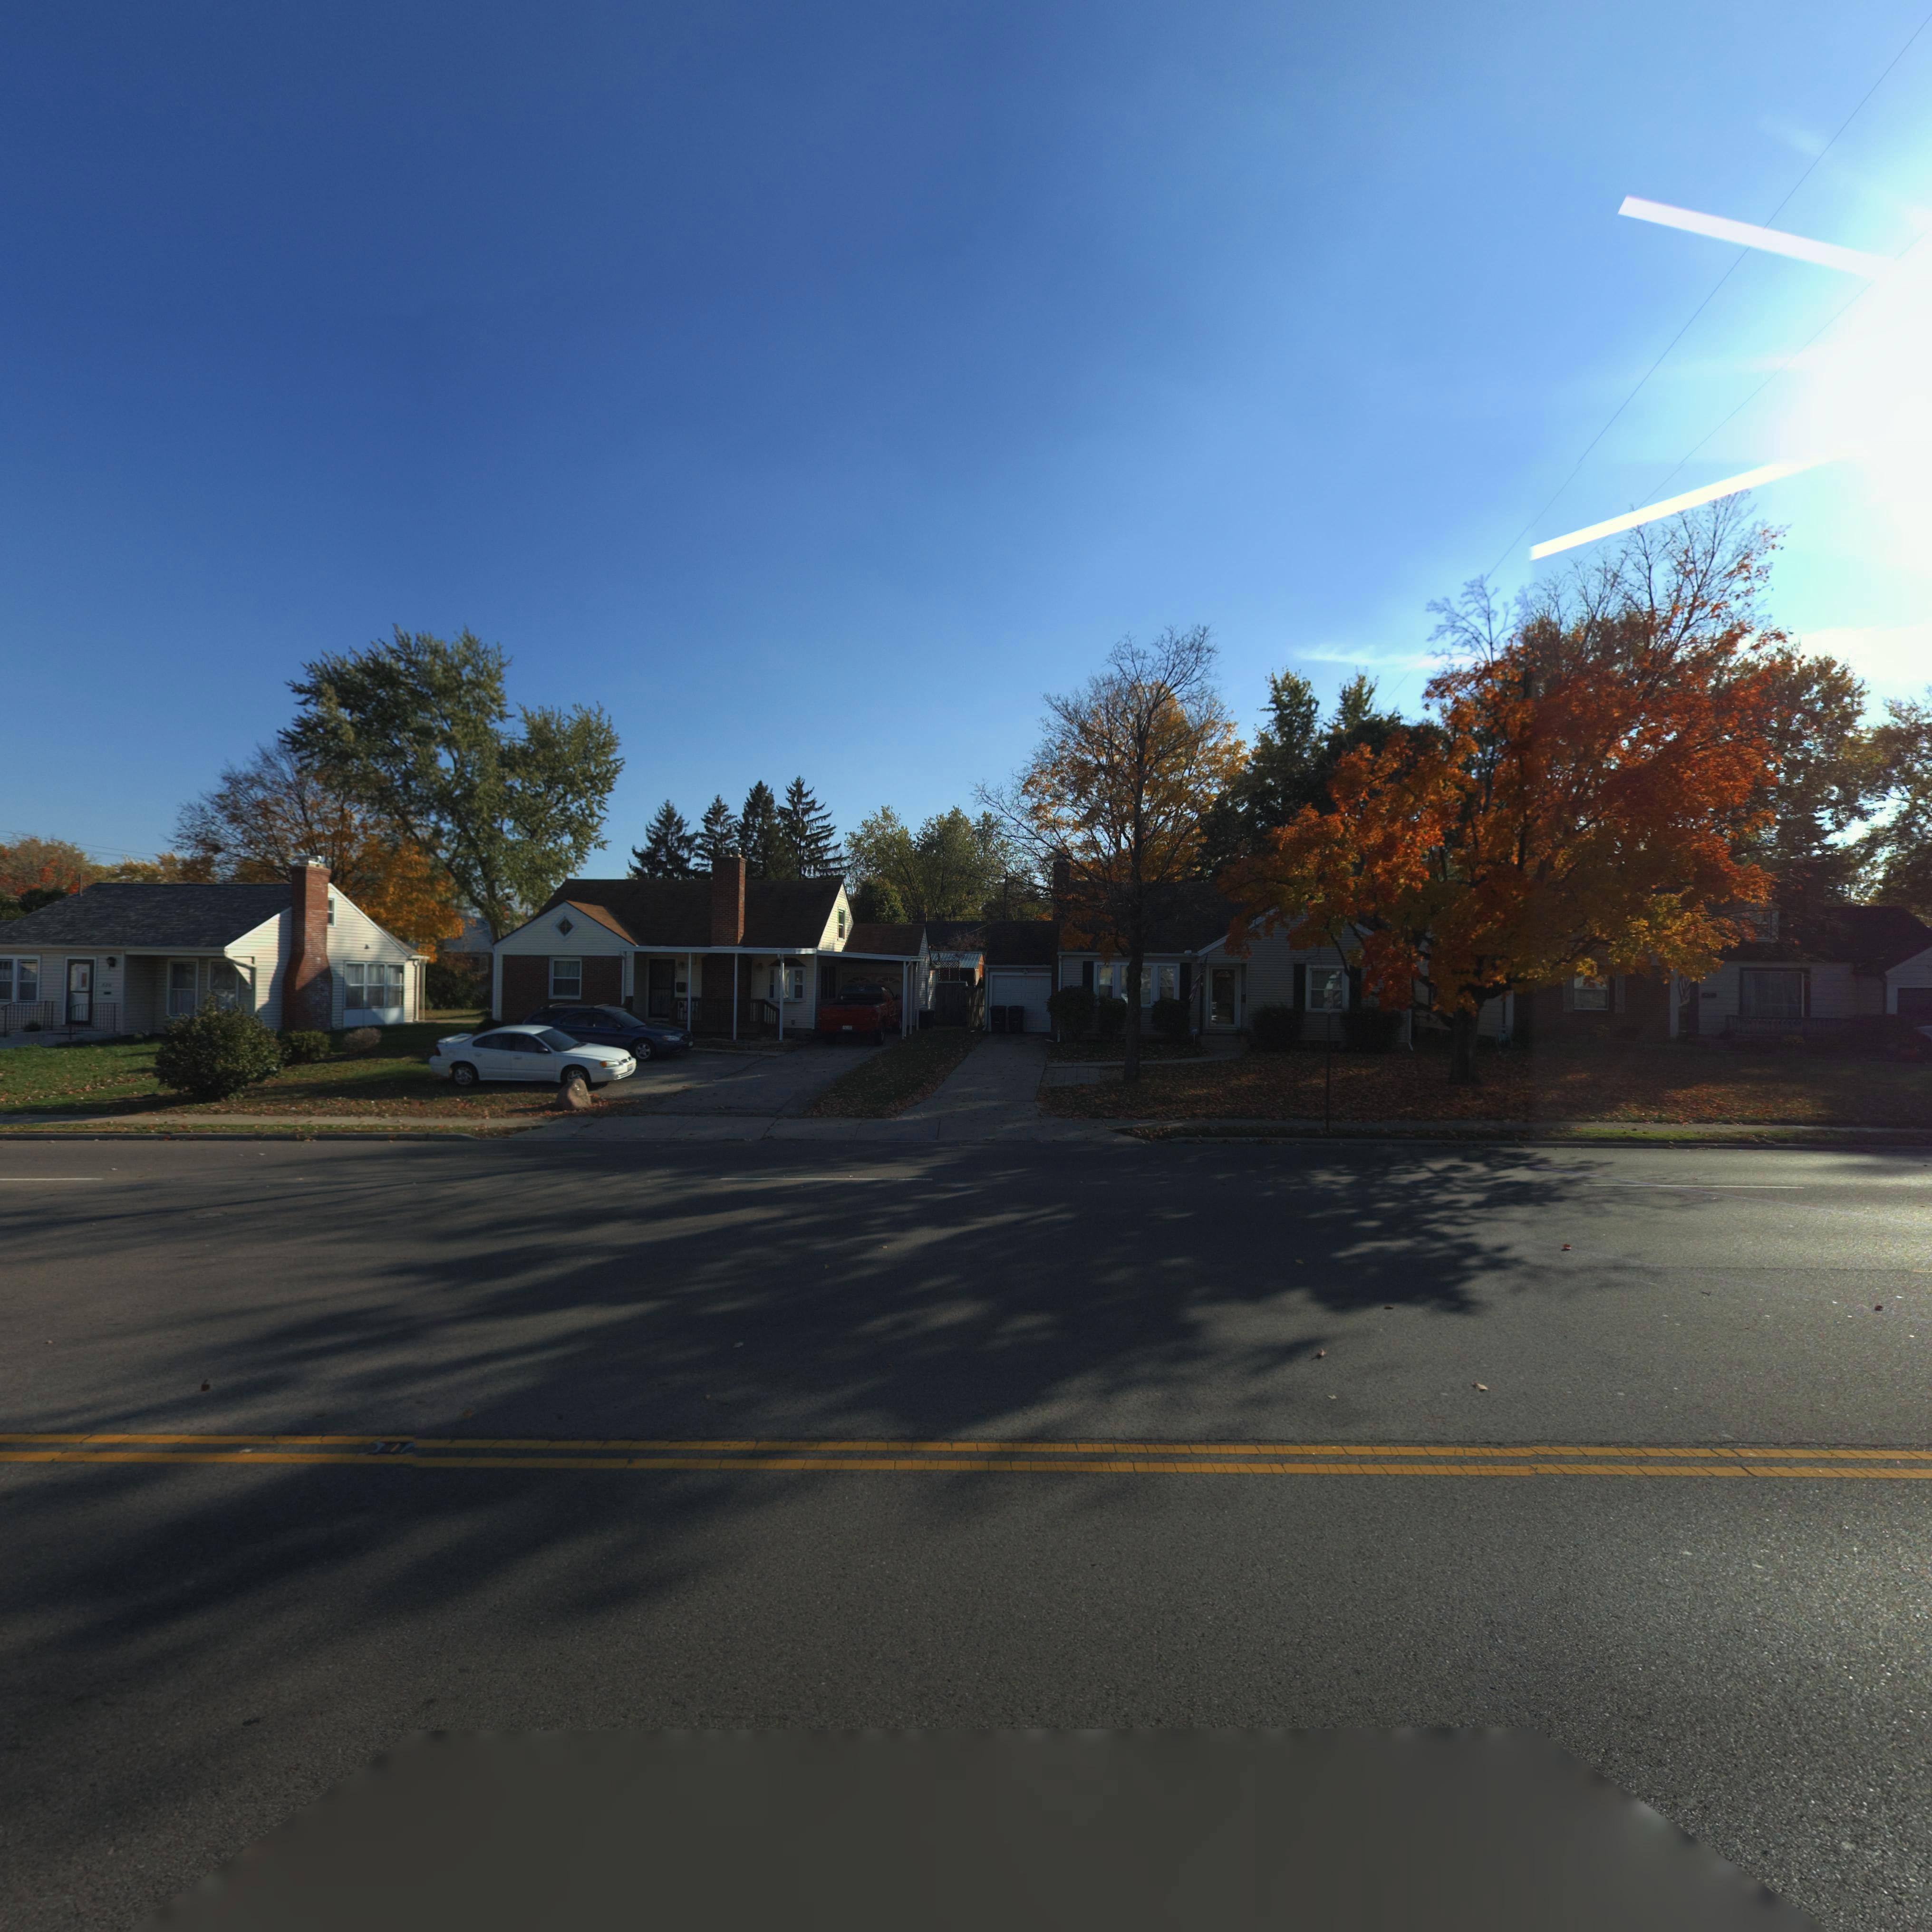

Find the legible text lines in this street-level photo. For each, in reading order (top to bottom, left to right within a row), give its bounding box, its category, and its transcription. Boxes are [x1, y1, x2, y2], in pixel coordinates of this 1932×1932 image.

[674, 965, 678, 979] StreetNumber: 432